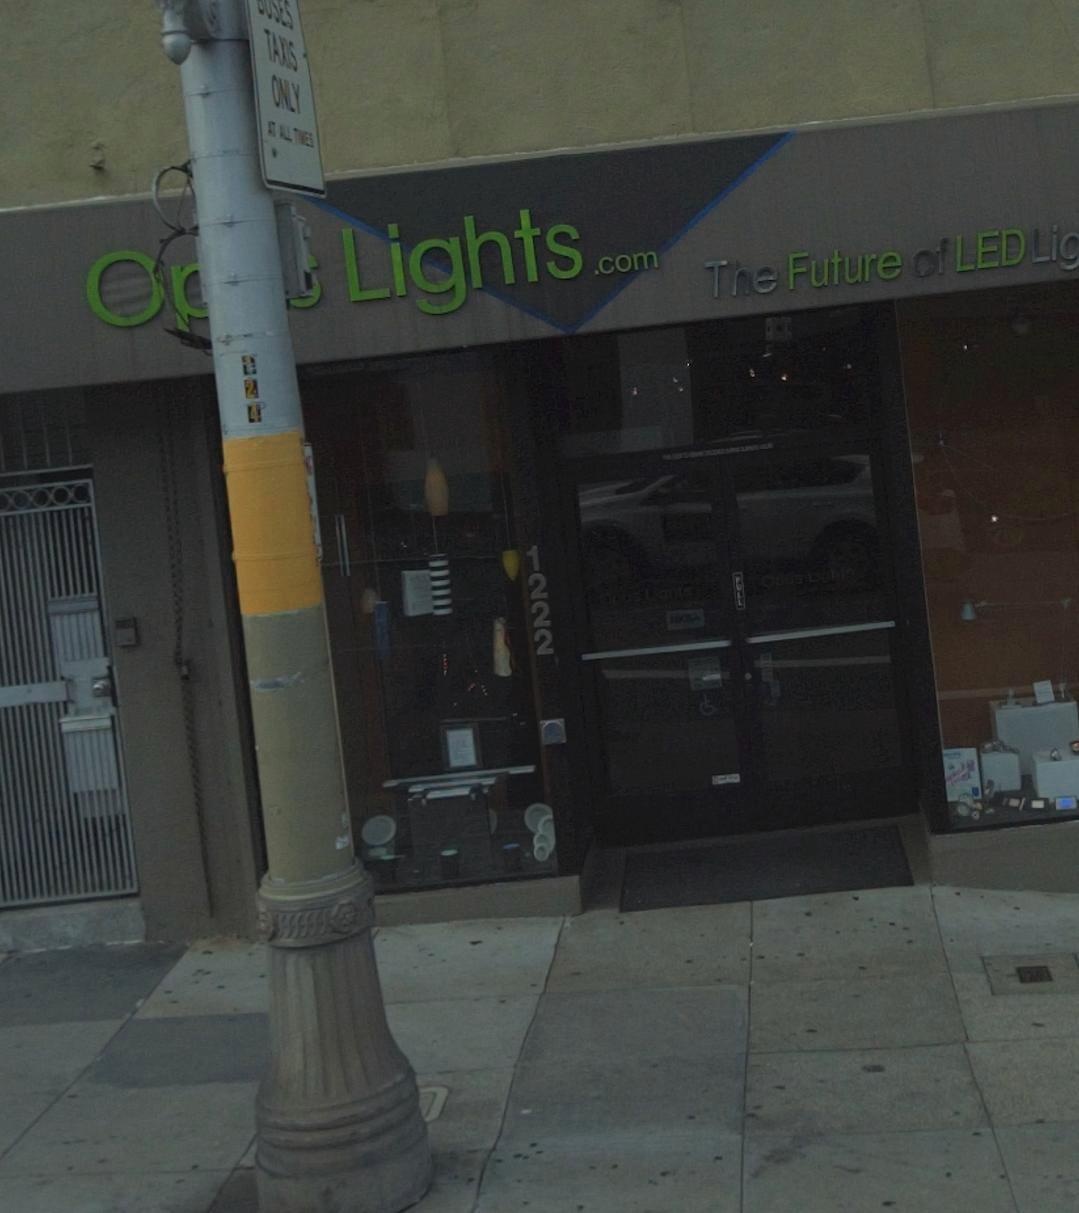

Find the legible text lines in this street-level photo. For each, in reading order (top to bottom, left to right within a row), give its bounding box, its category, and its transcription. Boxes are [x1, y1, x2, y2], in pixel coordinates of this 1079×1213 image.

[259, 24, 301, 77] None: TAXIS
[268, 69, 304, 120] None: ONLY
[265, 116, 317, 153] None: AT ALL TIMES
[79, 239, 176, 336] BusinessName: O
[333, 198, 665, 320] BusinessName: Lights.com
[698, 219, 1063, 303] None: The Future of LED Li
[240, 352, 264, 425] None: *24
[522, 541, 558, 661] StreetNumber: 1222